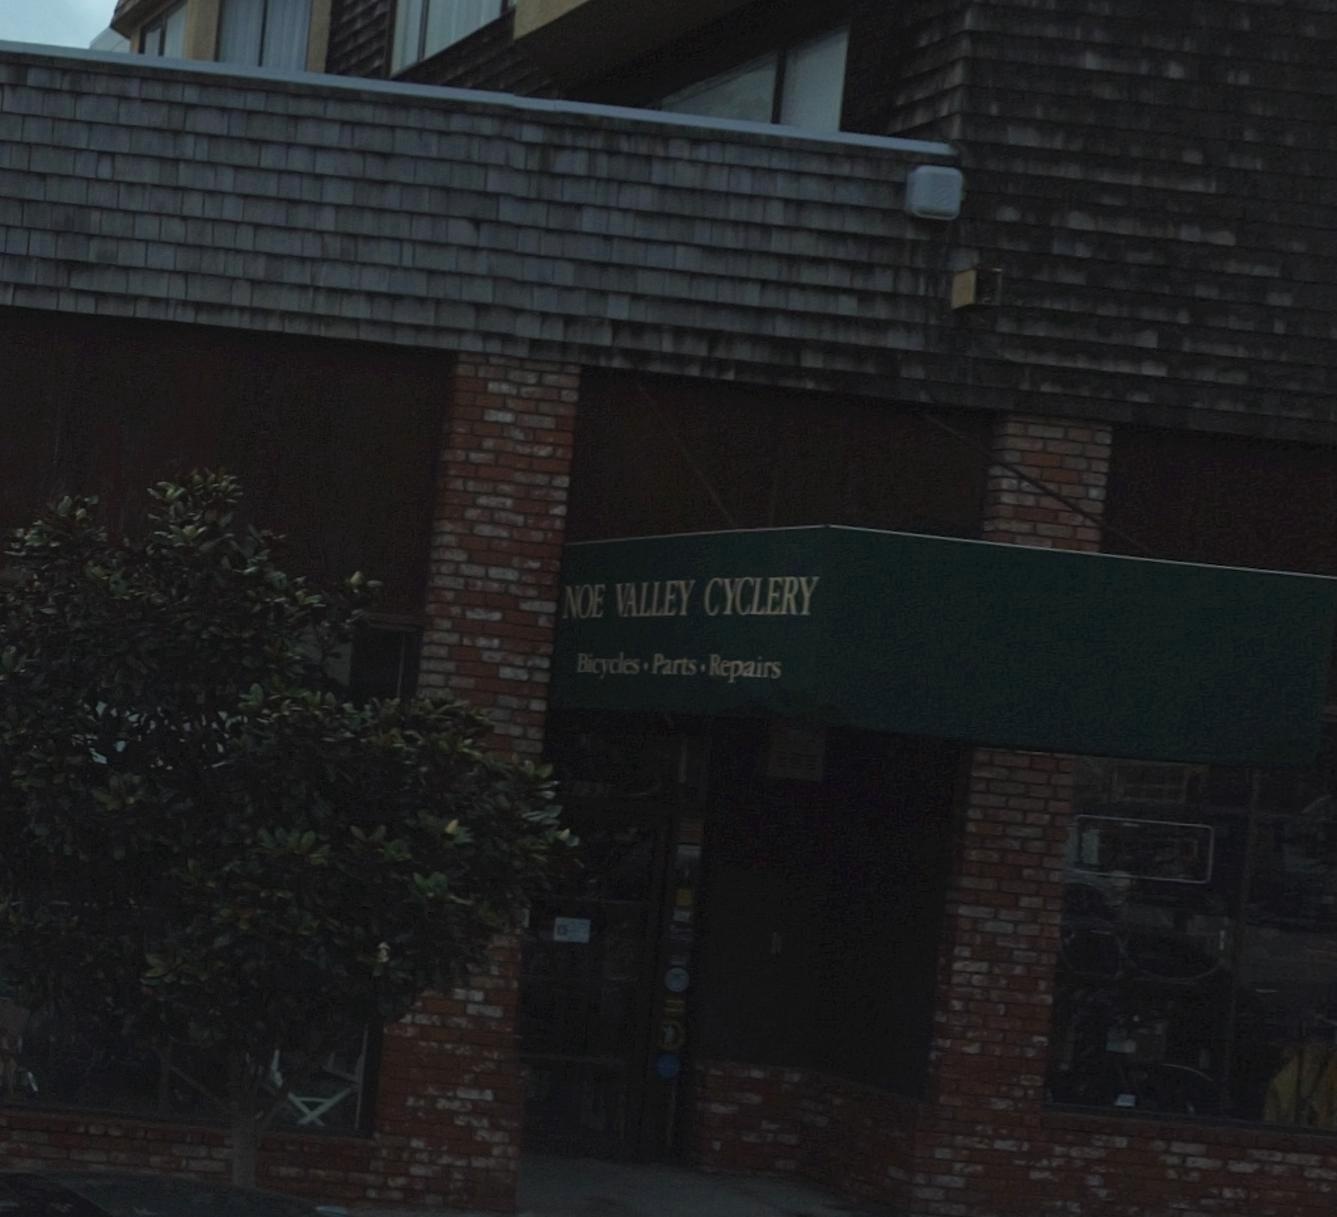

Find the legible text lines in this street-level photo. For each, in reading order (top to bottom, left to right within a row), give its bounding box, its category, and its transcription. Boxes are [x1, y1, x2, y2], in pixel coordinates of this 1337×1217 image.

[560, 575, 822, 621] BusinessName: NOE VALLEY CYCLERY
[575, 650, 783, 684] None: Bicycles - Parts - Repairs